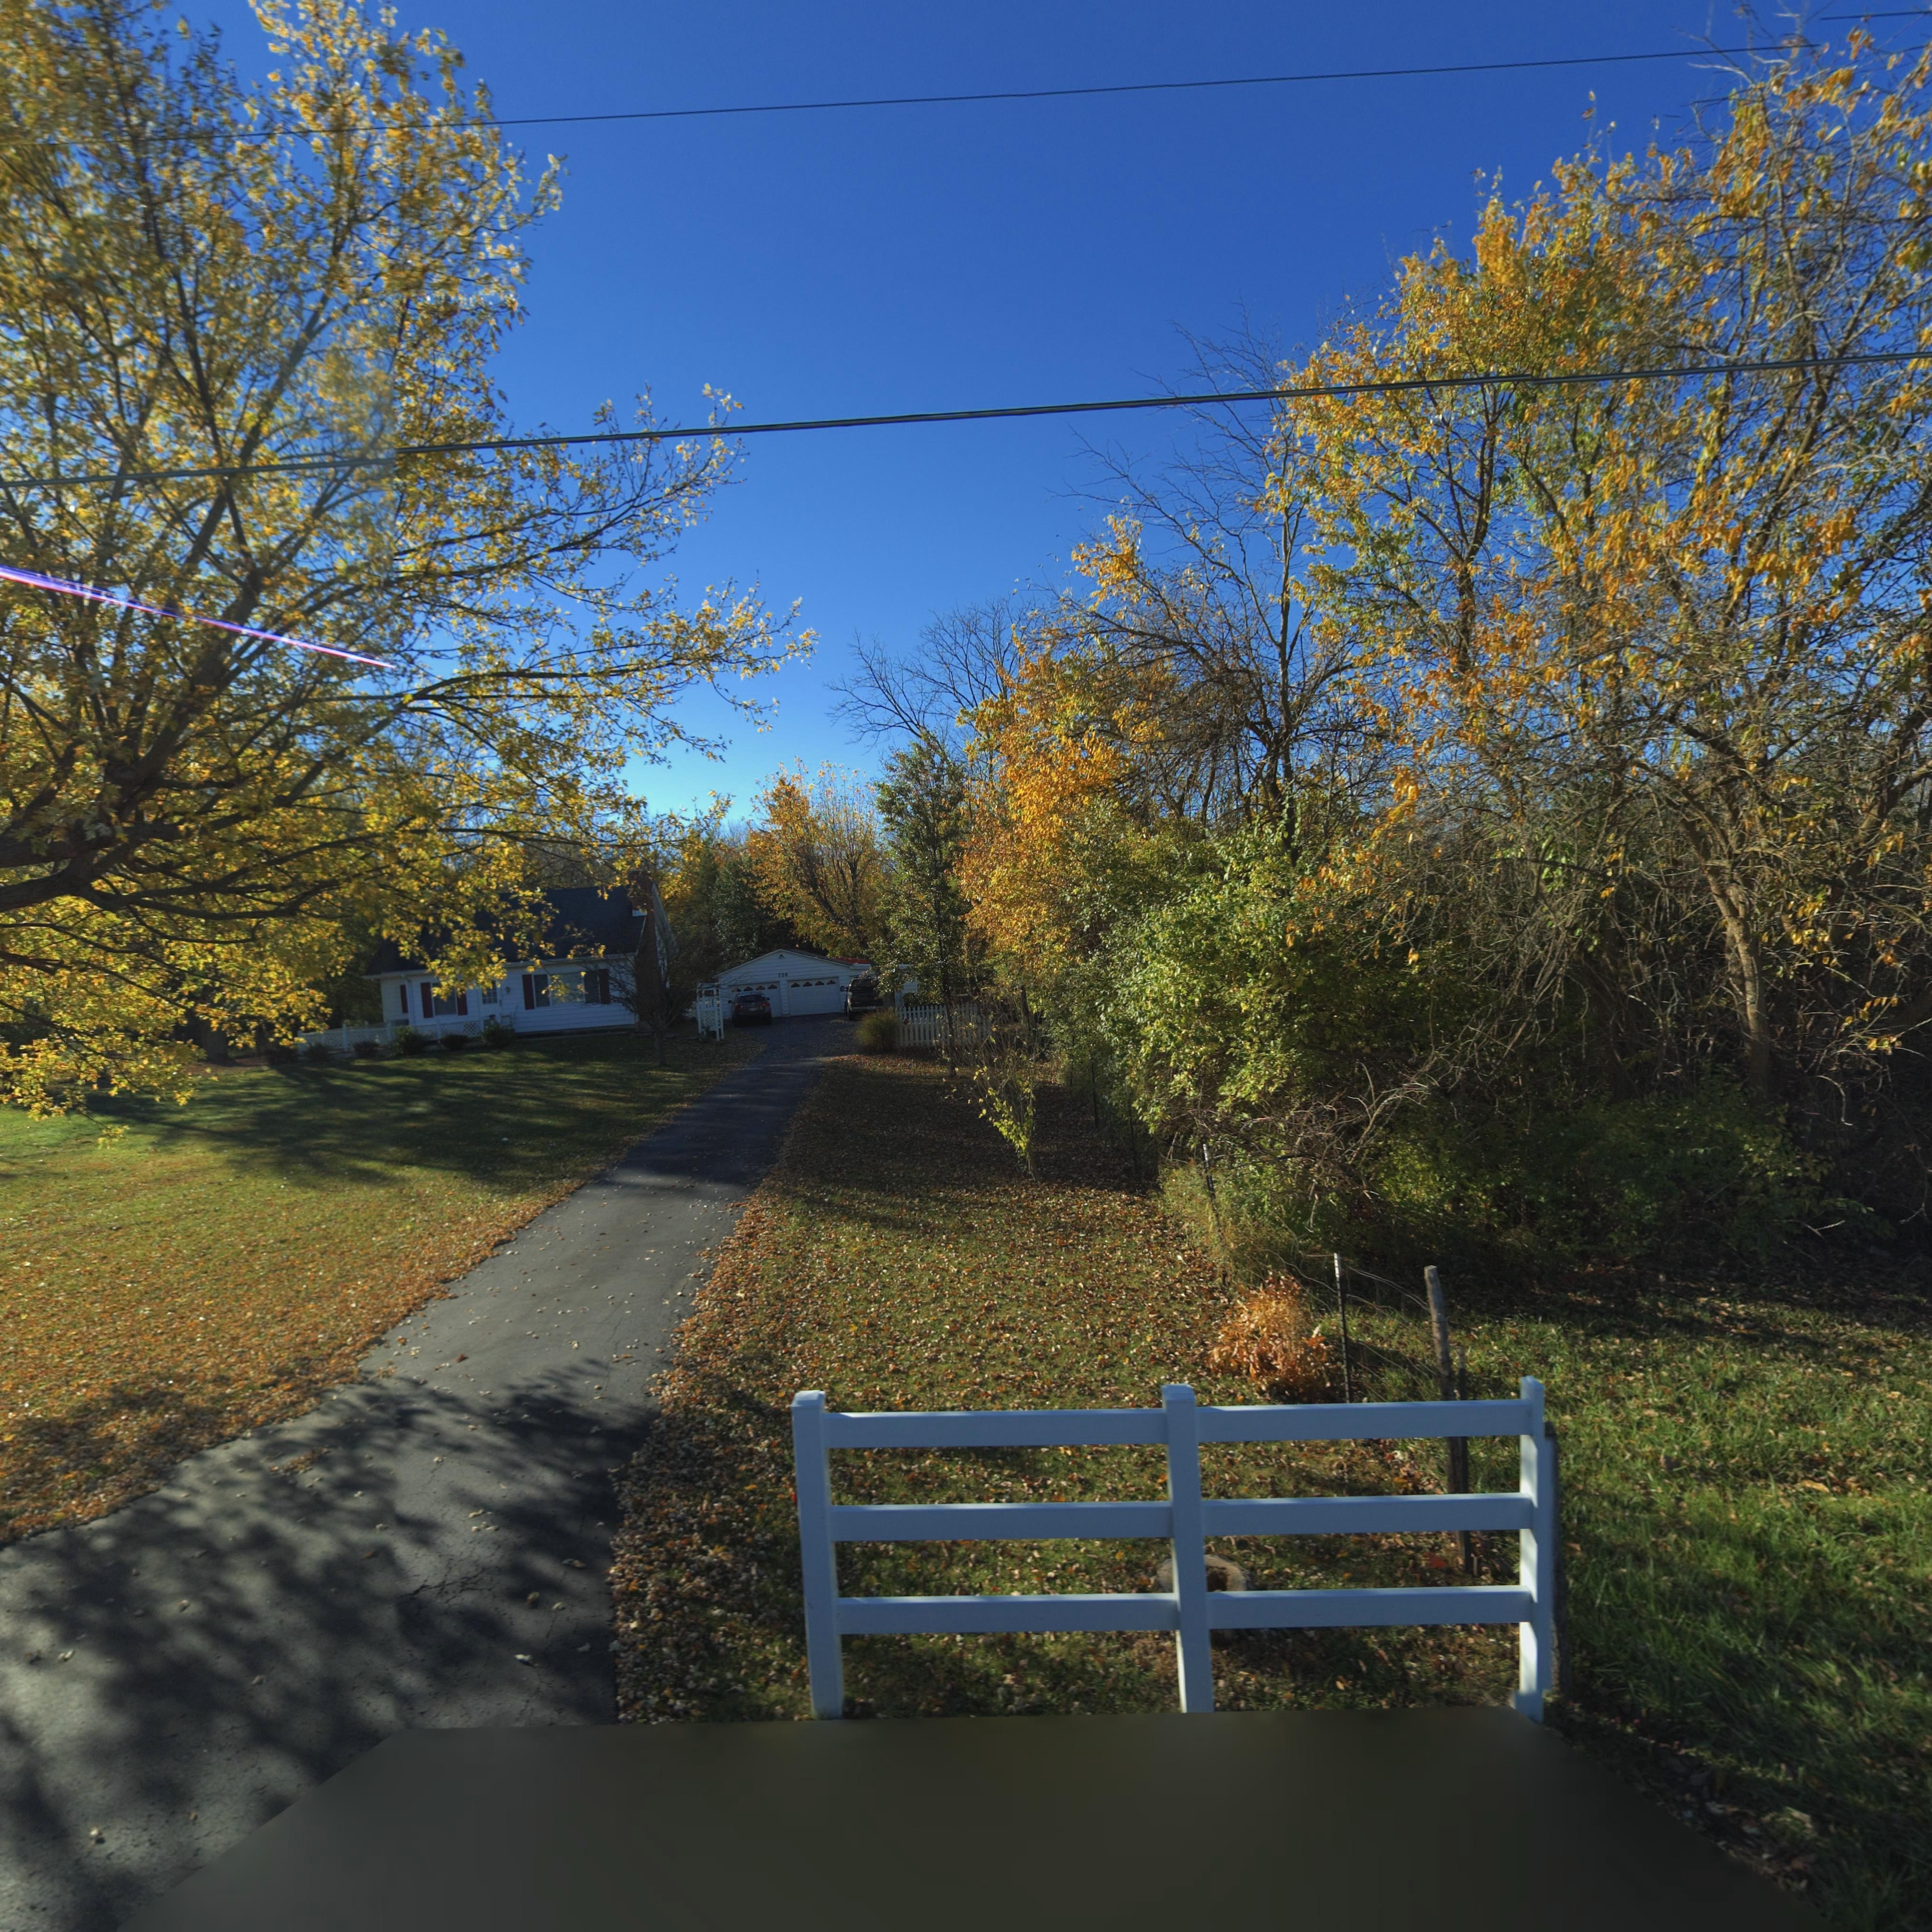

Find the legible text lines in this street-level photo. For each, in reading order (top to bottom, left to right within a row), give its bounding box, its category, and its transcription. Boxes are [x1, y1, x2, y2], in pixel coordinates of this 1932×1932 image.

[777, 972, 789, 978] StreetNumber: 72*